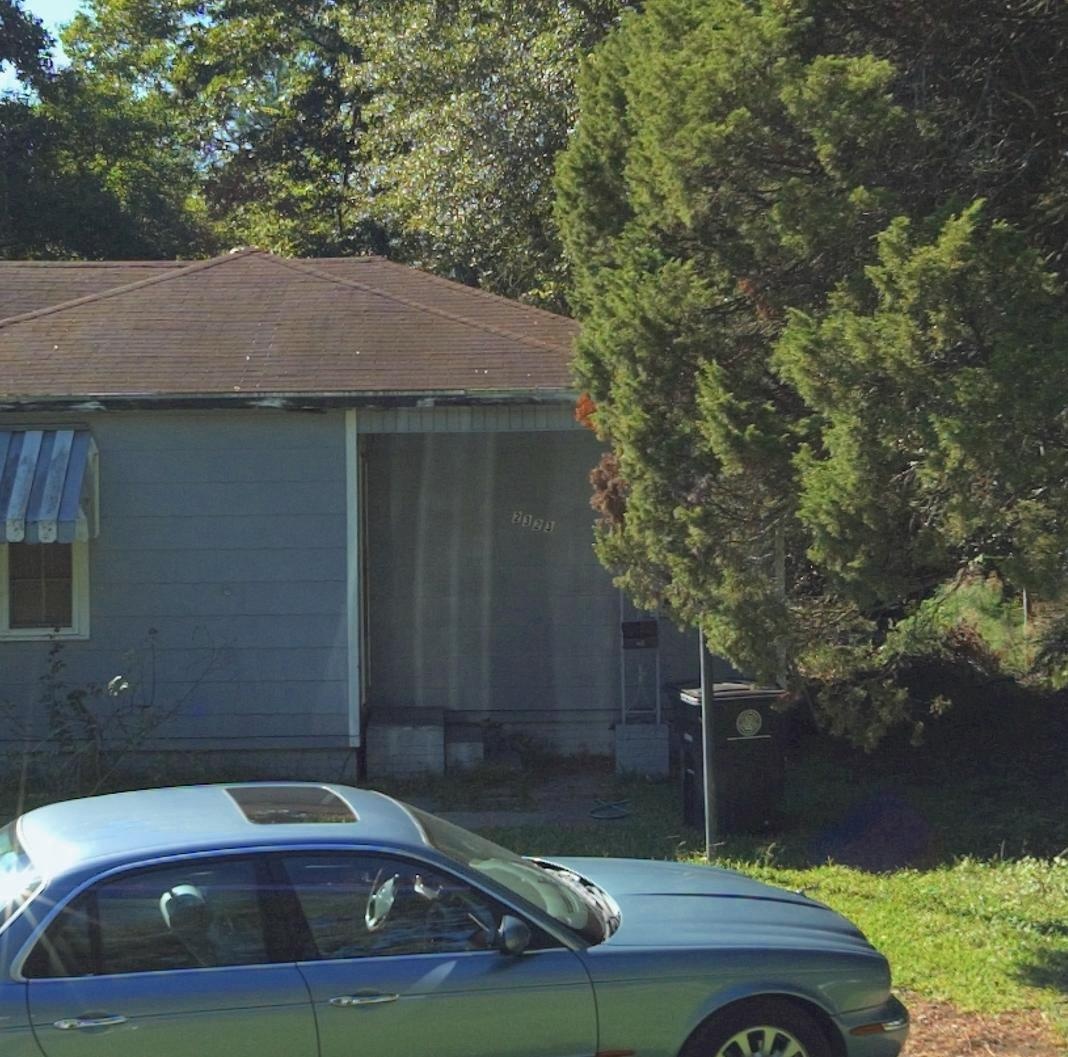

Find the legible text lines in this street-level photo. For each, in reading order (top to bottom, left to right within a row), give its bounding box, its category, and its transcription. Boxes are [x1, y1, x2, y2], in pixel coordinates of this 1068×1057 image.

[510, 510, 554, 535] StreetNumber: 2323